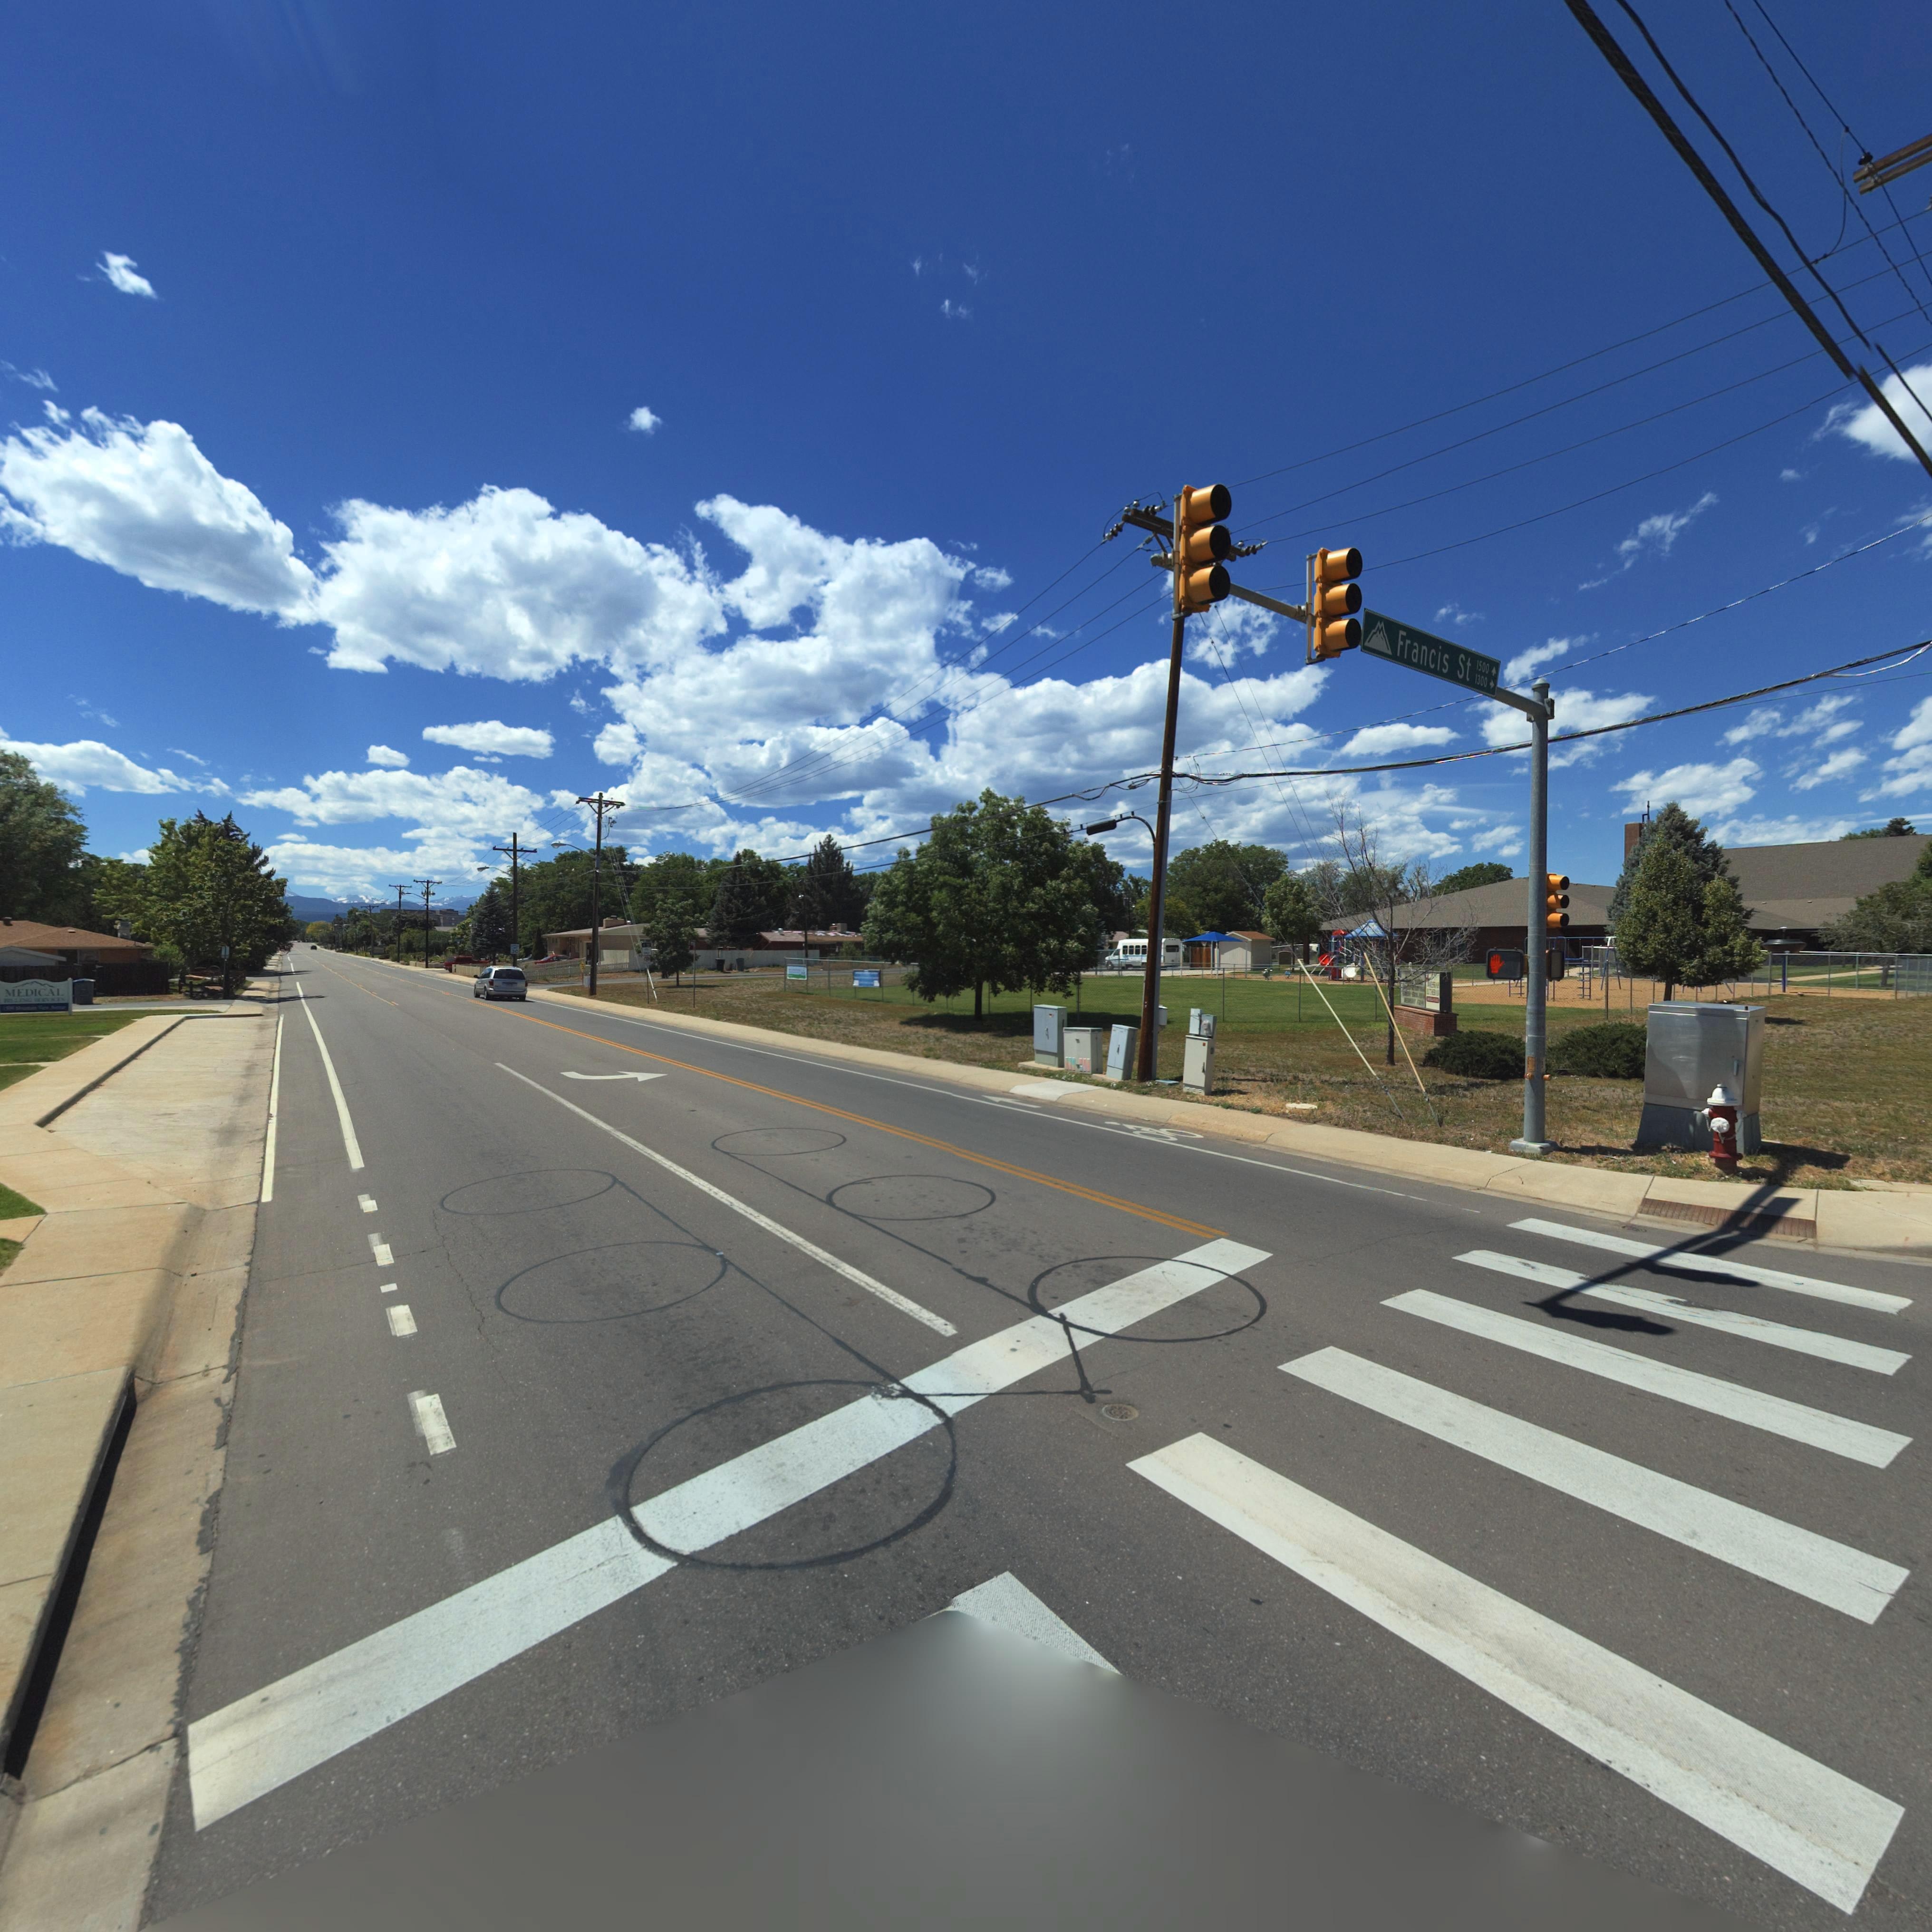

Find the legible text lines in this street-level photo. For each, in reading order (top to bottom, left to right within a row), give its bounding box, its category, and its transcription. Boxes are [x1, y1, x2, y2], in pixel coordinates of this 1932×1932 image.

[1396, 628, 1471, 682] StreetName: Francis St
[1476, 659, 1489, 674] StreetNumberRange: 1500
[1474, 673, 1495, 689] StreetNumberRange: 1300 ->
[4, 987, 63, 997] BusinessName: MEDICAL